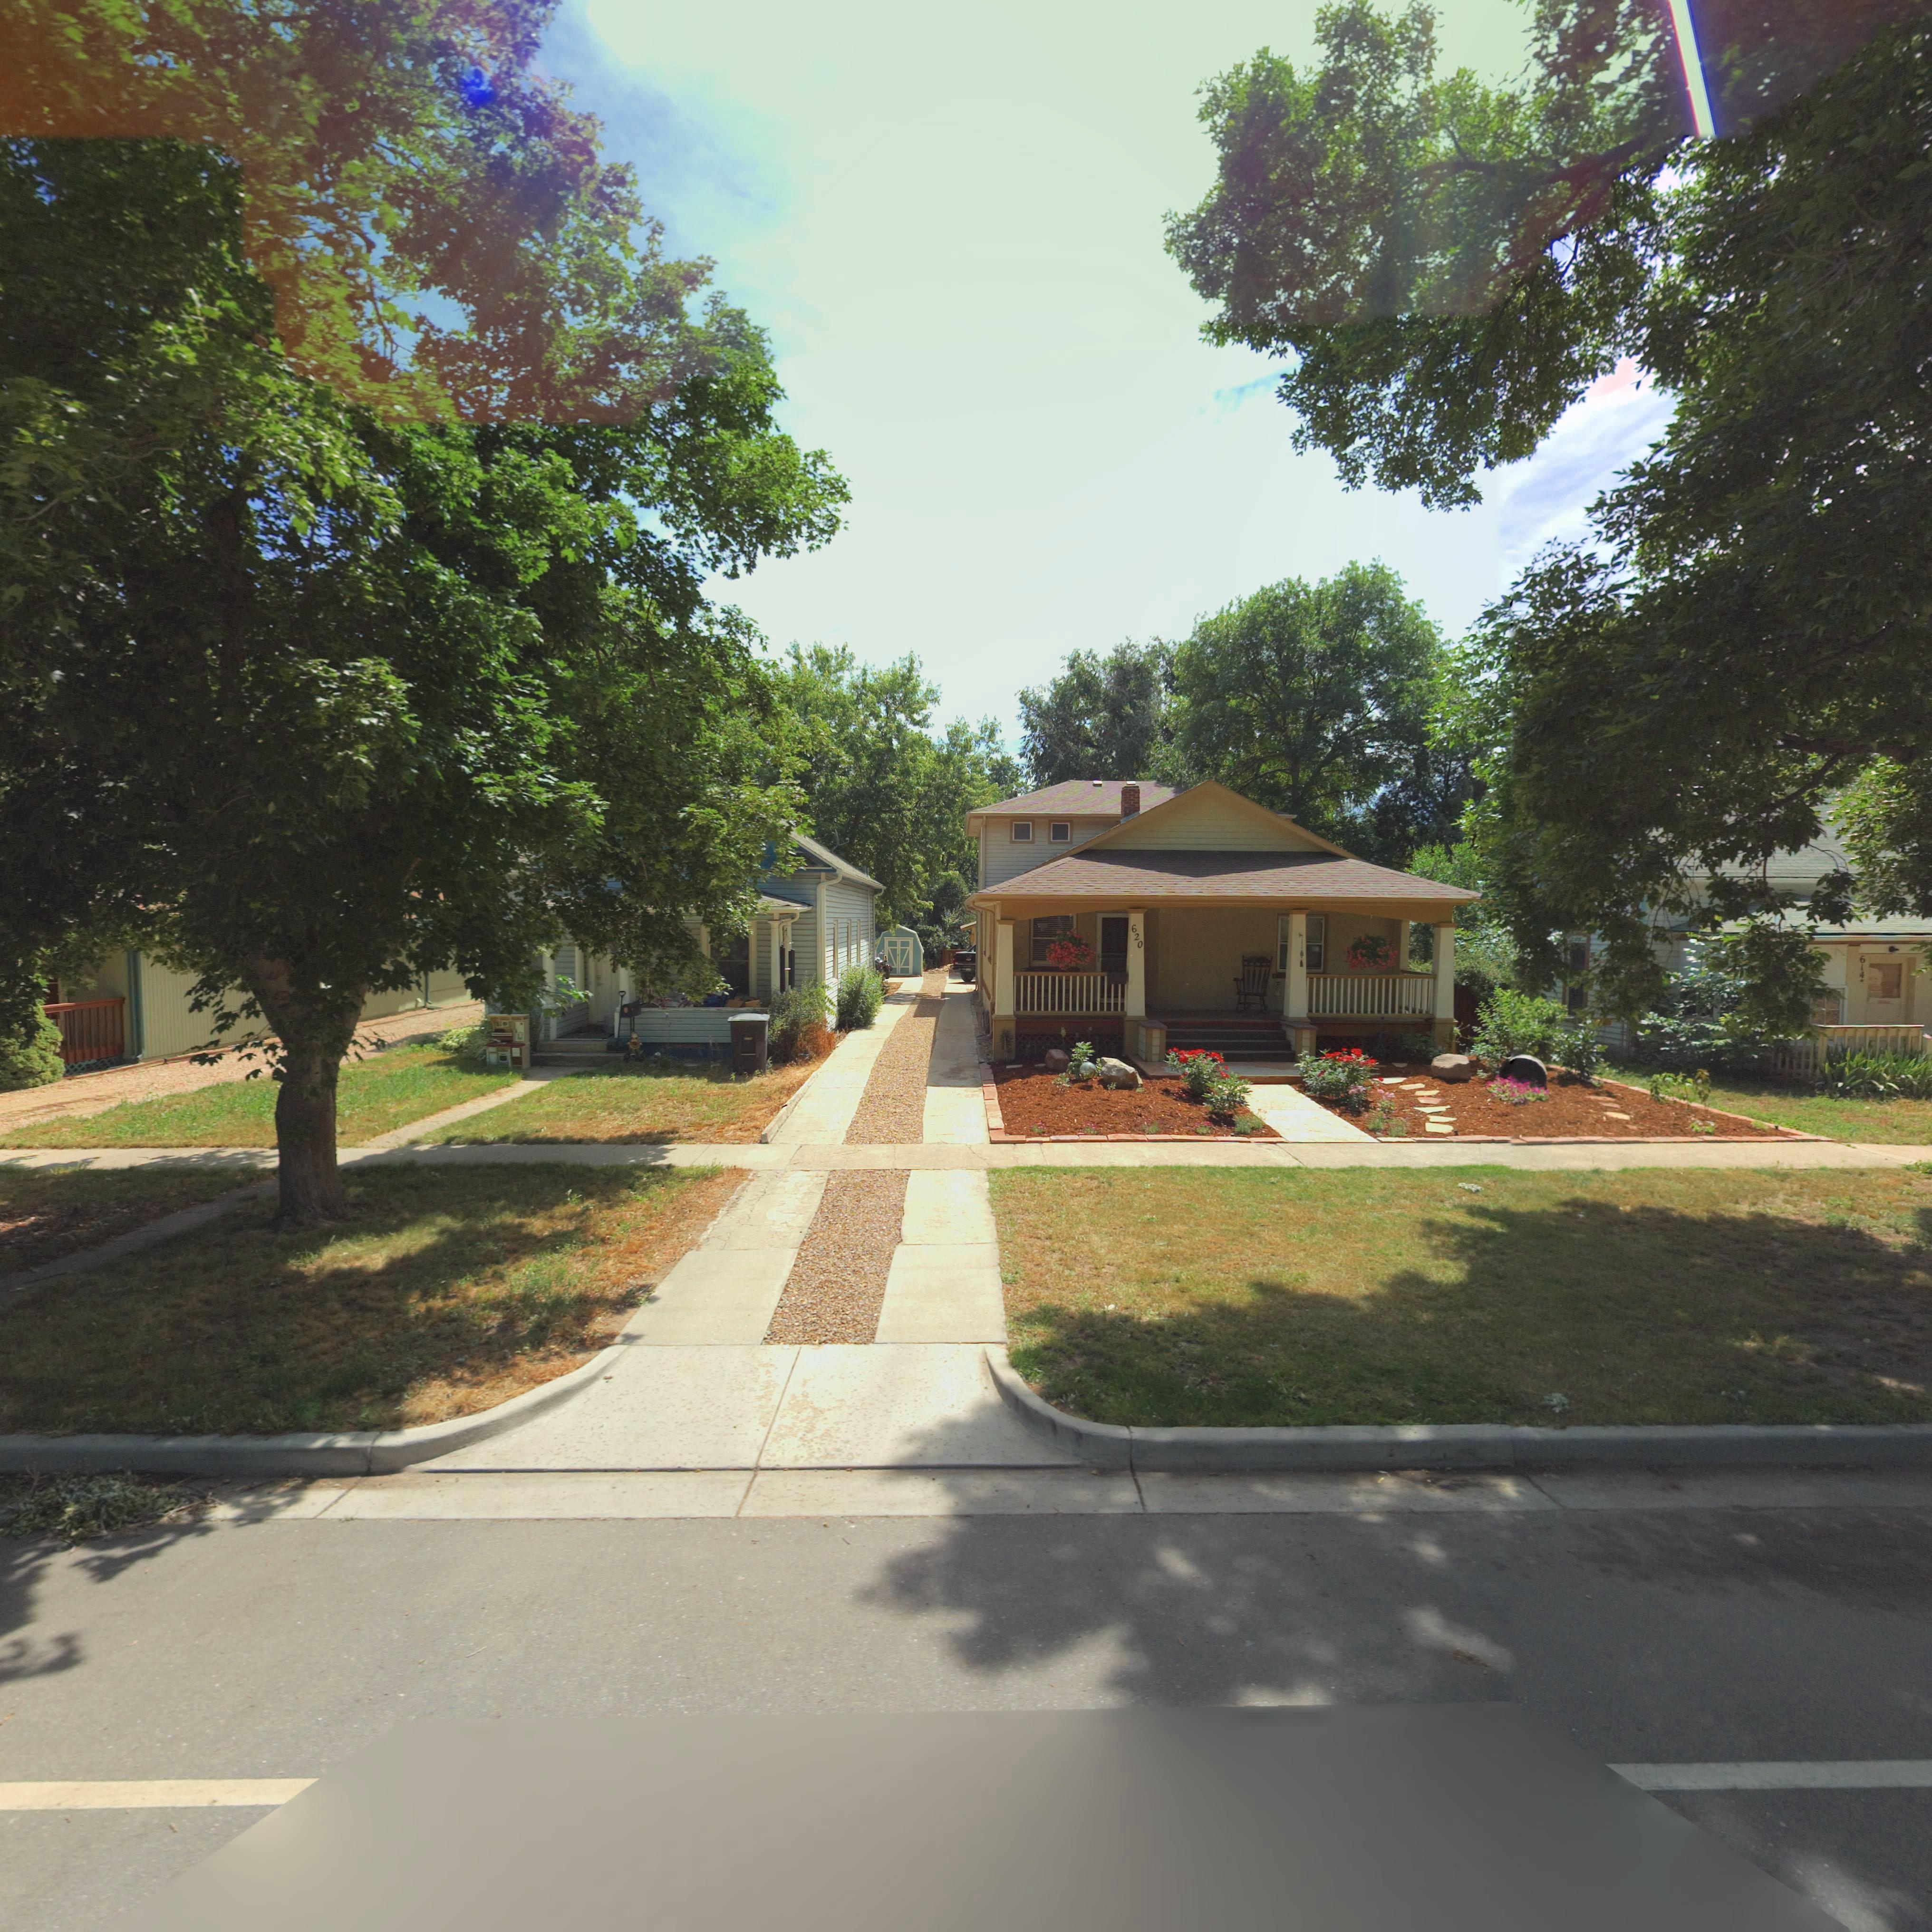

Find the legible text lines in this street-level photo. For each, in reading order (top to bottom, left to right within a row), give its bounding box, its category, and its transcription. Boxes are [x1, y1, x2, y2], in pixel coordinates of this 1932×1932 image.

[1131, 923, 1142, 949] StreetNumber: 620
[1859, 954, 1866, 979] StreetNumber: 614